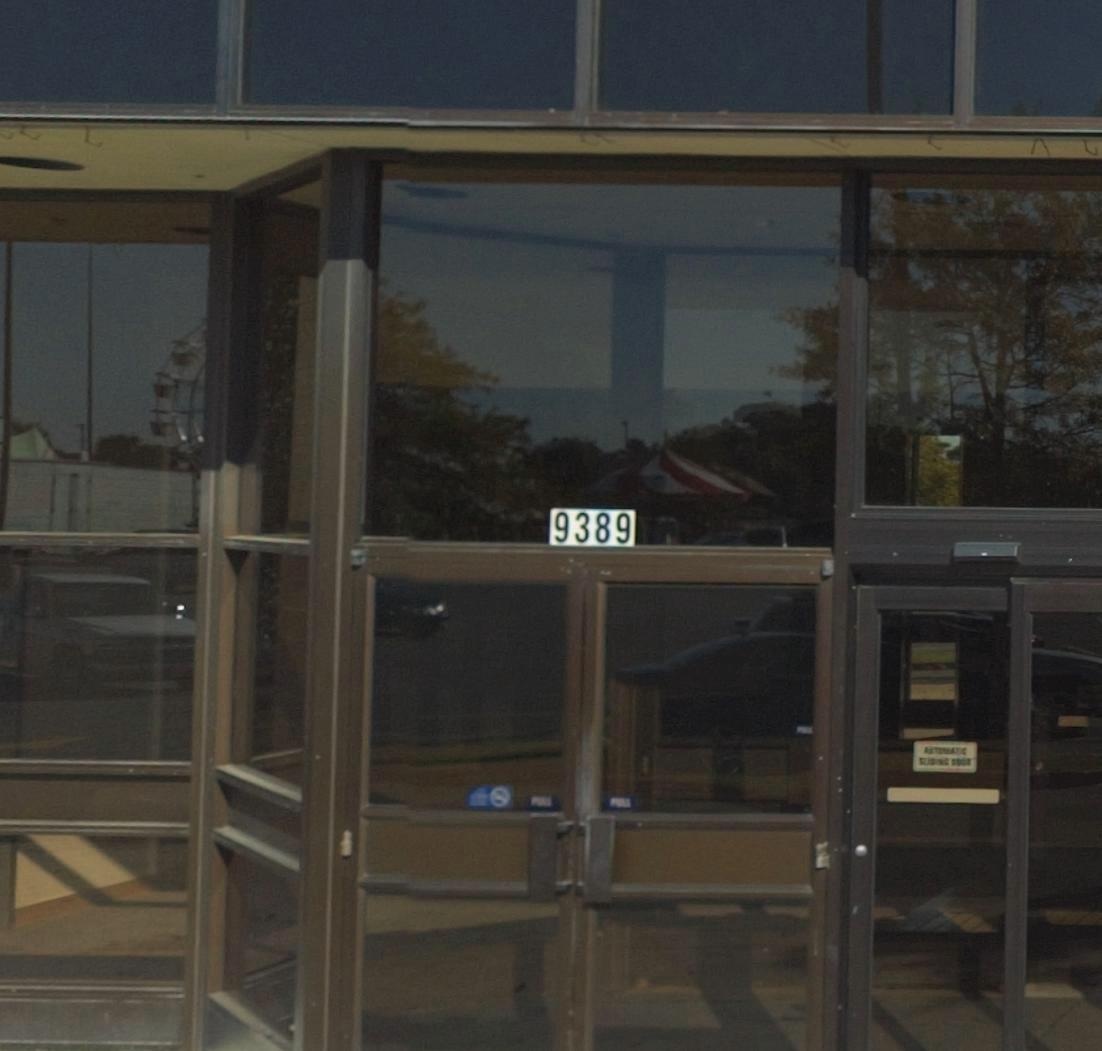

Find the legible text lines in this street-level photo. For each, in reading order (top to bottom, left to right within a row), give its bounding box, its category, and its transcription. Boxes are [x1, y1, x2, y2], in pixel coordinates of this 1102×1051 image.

[552, 510, 632, 545] StreetNumber: 9389